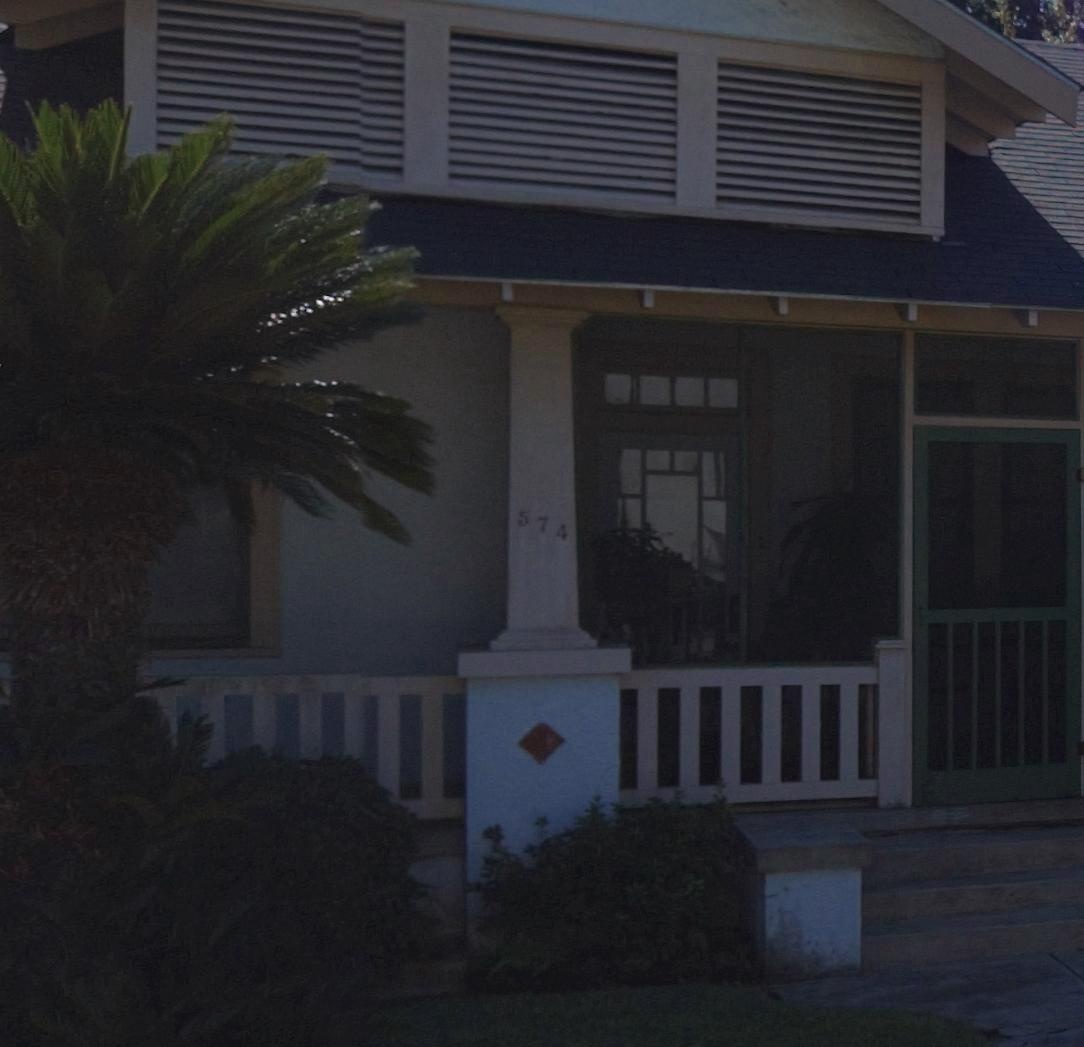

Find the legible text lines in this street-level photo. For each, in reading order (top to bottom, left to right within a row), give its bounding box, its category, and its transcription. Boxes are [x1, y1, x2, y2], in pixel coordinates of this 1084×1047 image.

[516, 505, 570, 546] StreetNumber: 574